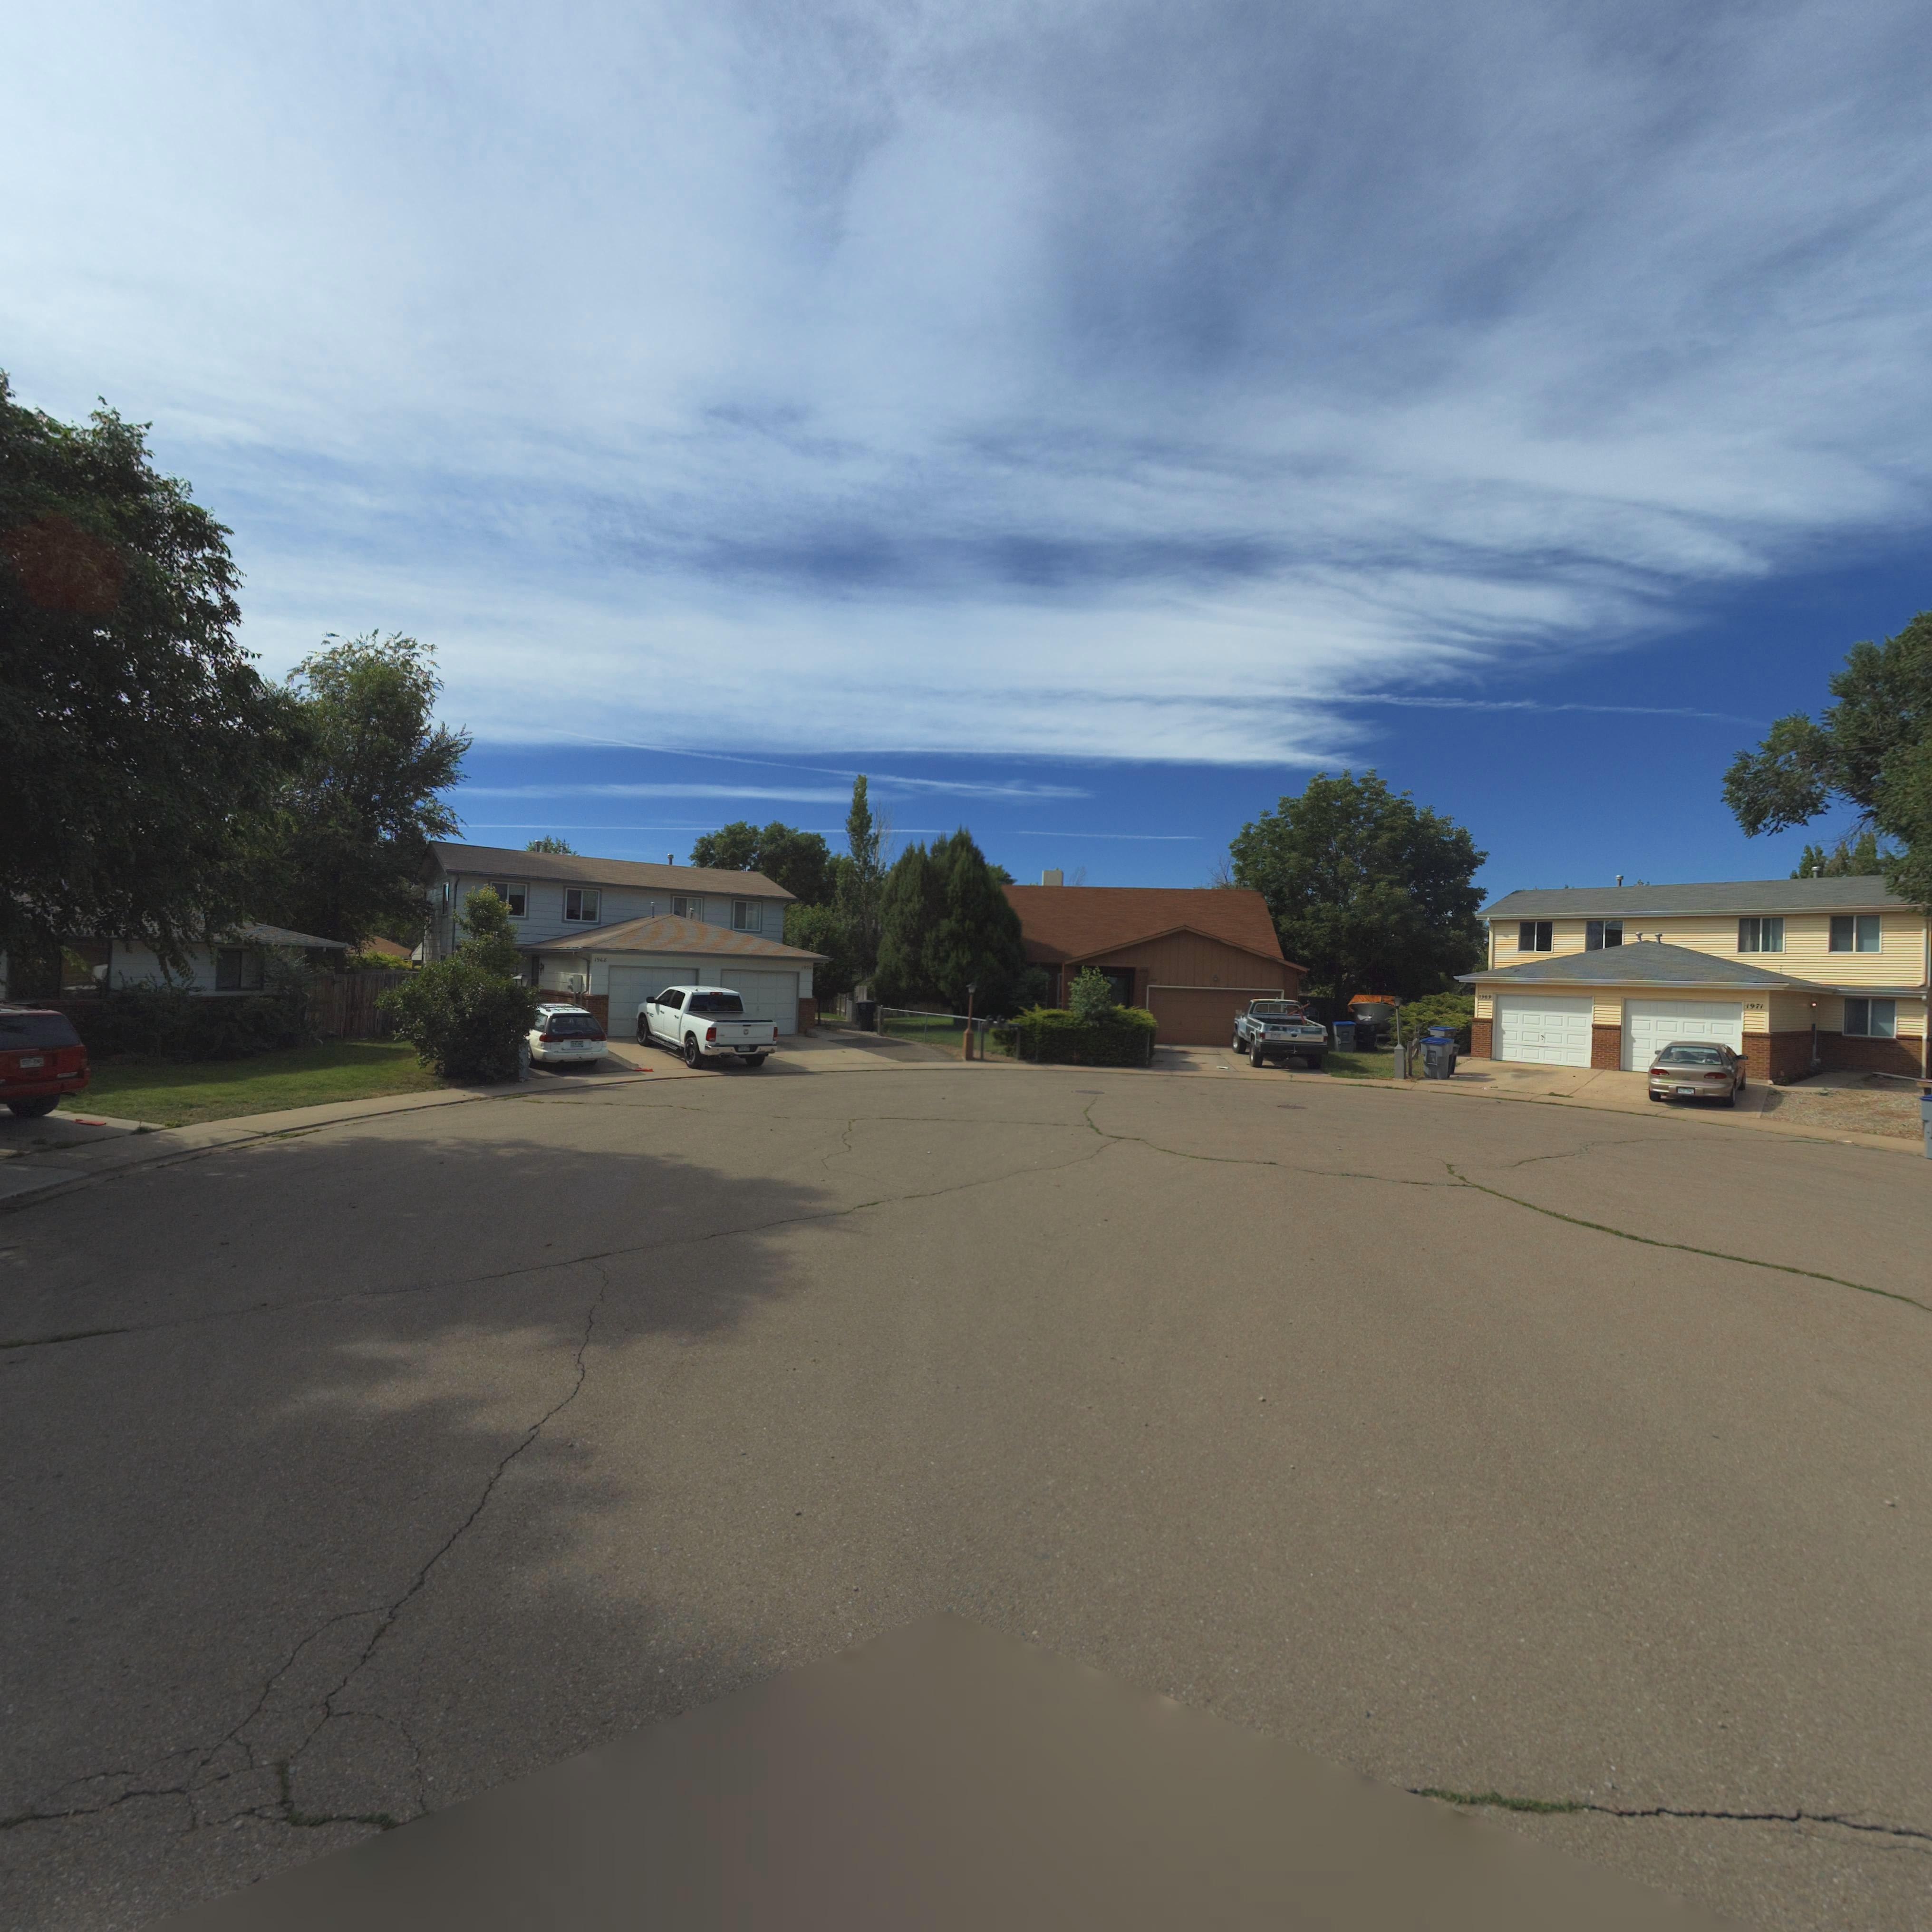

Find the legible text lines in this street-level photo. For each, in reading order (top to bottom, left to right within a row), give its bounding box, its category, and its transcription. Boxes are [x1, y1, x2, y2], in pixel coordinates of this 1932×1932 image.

[594, 957, 607, 962] StreetNumber: 1968
[801, 965, 812, 970] StreetNumber: 197*
[1478, 994, 1492, 999] StreetNumber: 19*9
[1746, 1003, 1764, 1009] StreetNumber: 1971